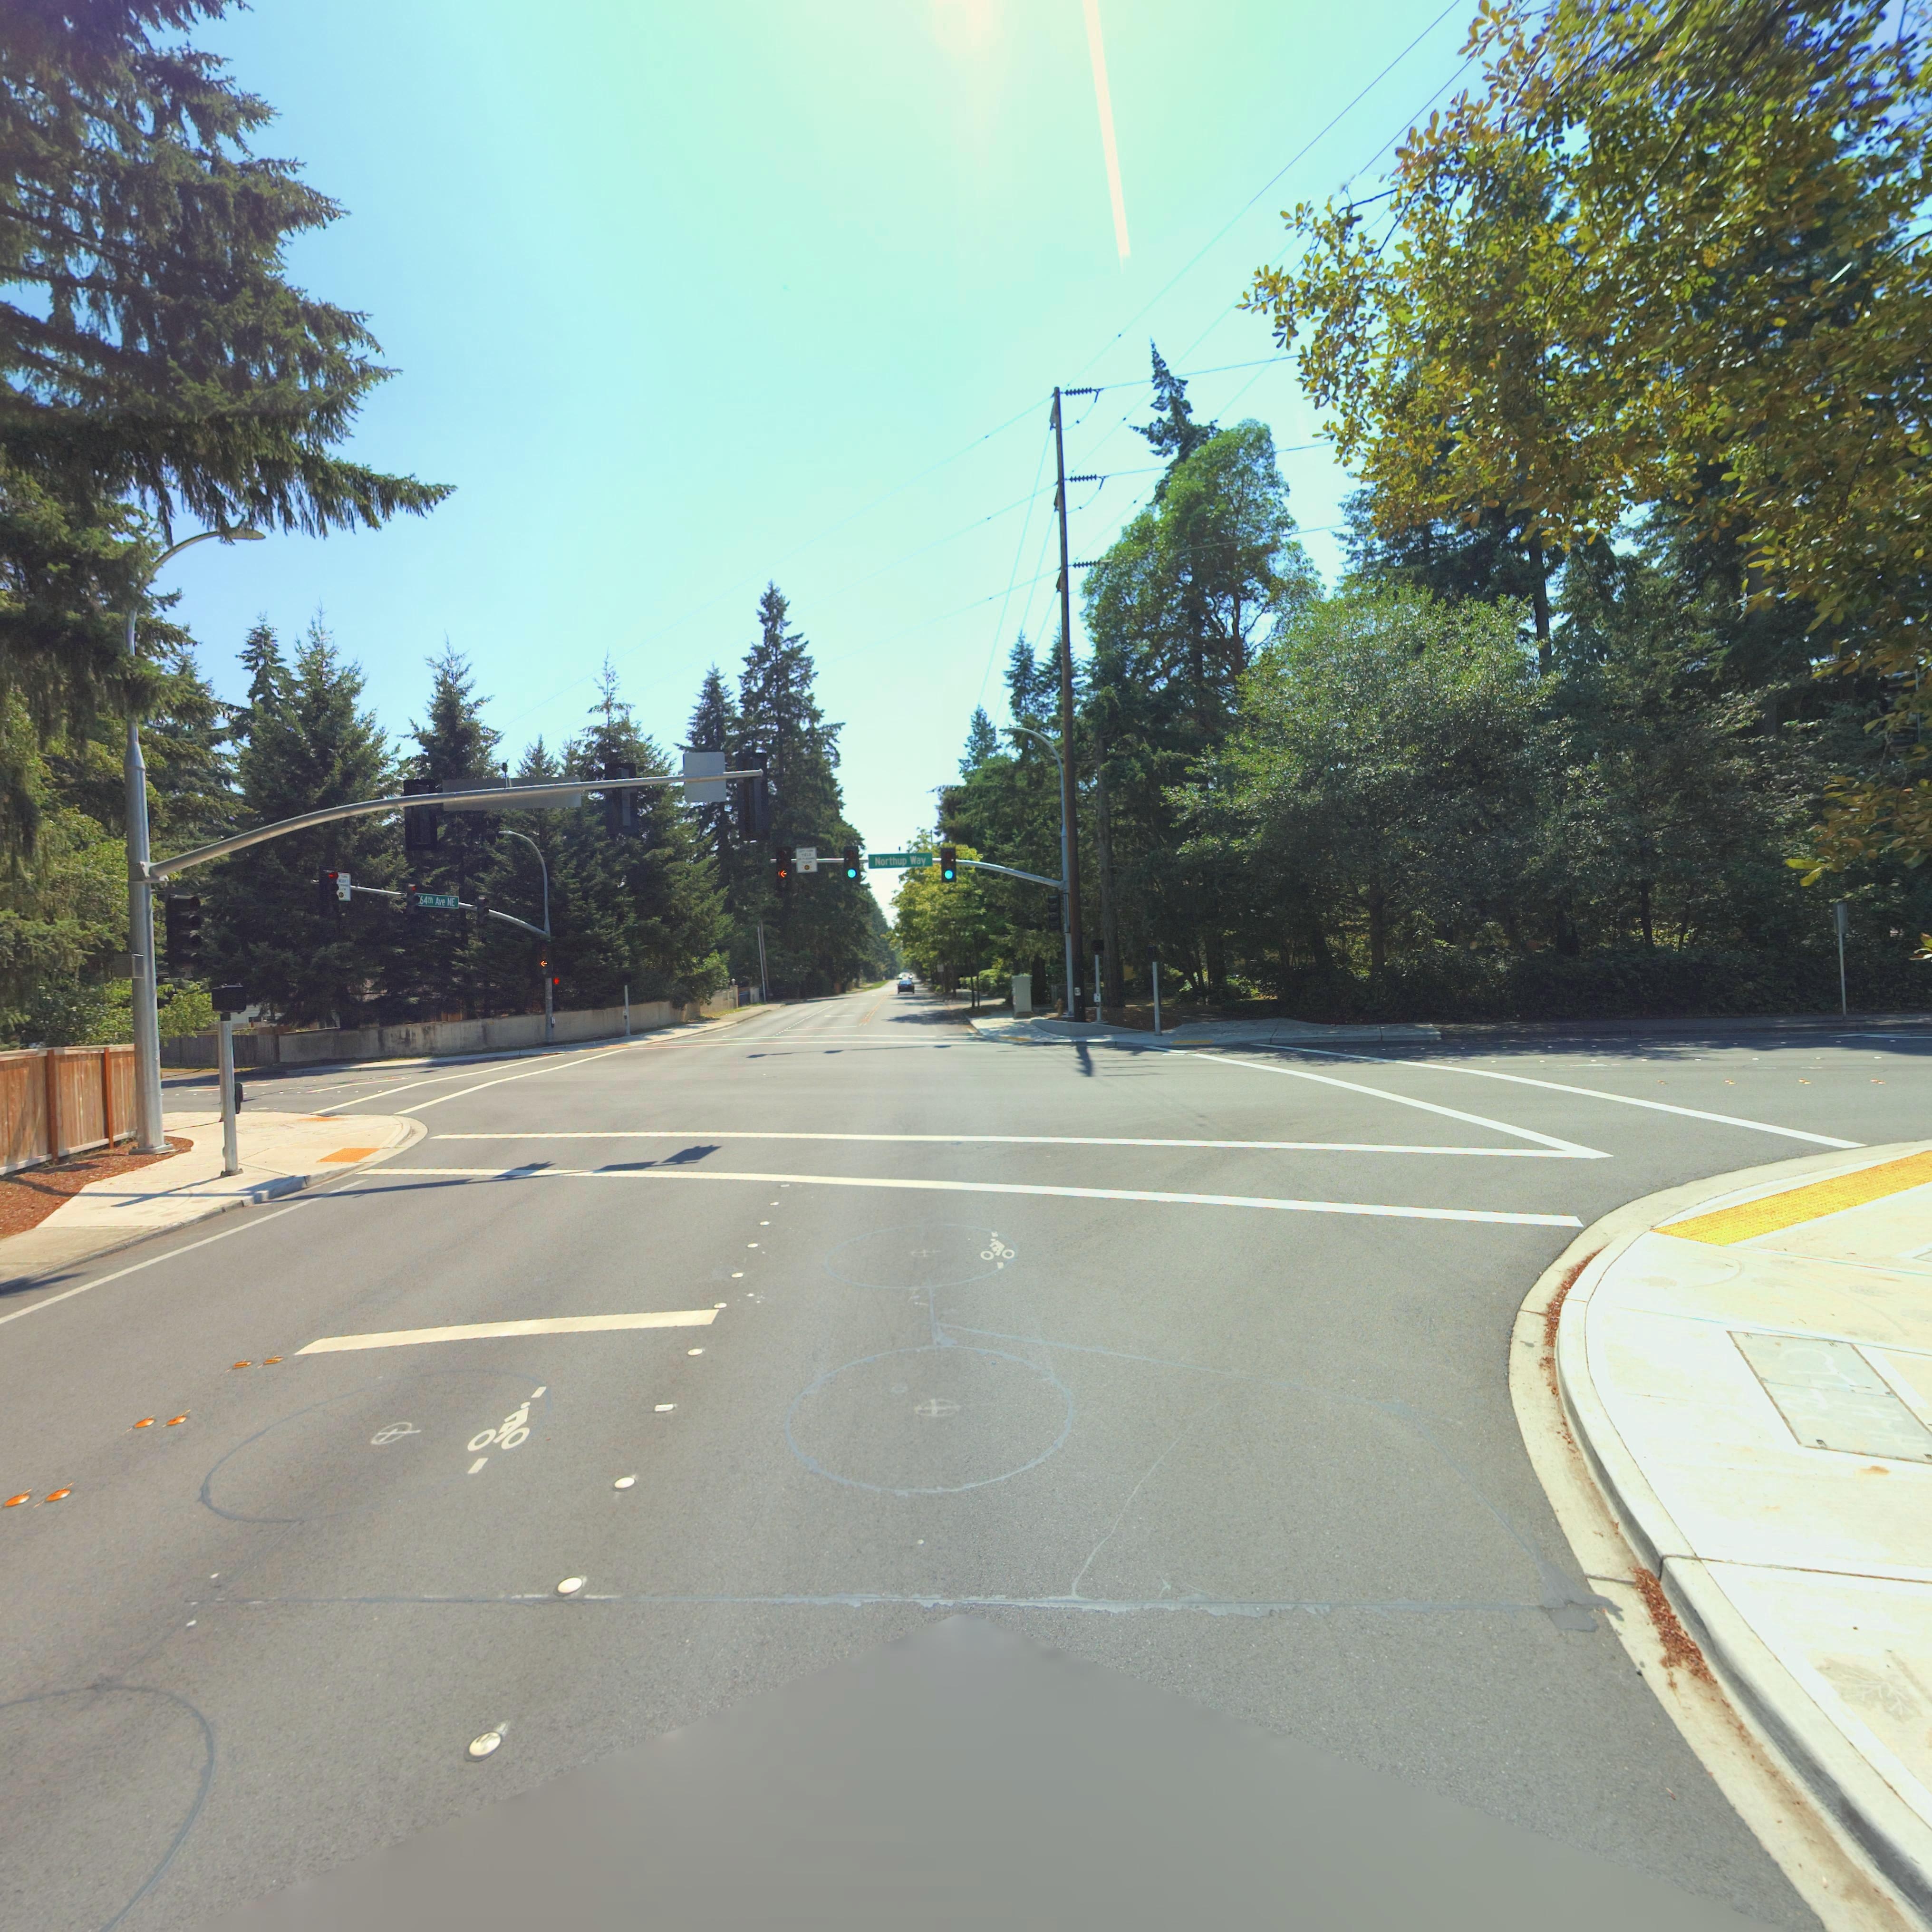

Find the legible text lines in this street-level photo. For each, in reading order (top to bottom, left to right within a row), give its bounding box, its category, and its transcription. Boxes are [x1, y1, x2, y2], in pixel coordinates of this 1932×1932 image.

[874, 855, 926, 866] StreetName: Northup Way
[416, 894, 457, 908] None: 64**Ave NE